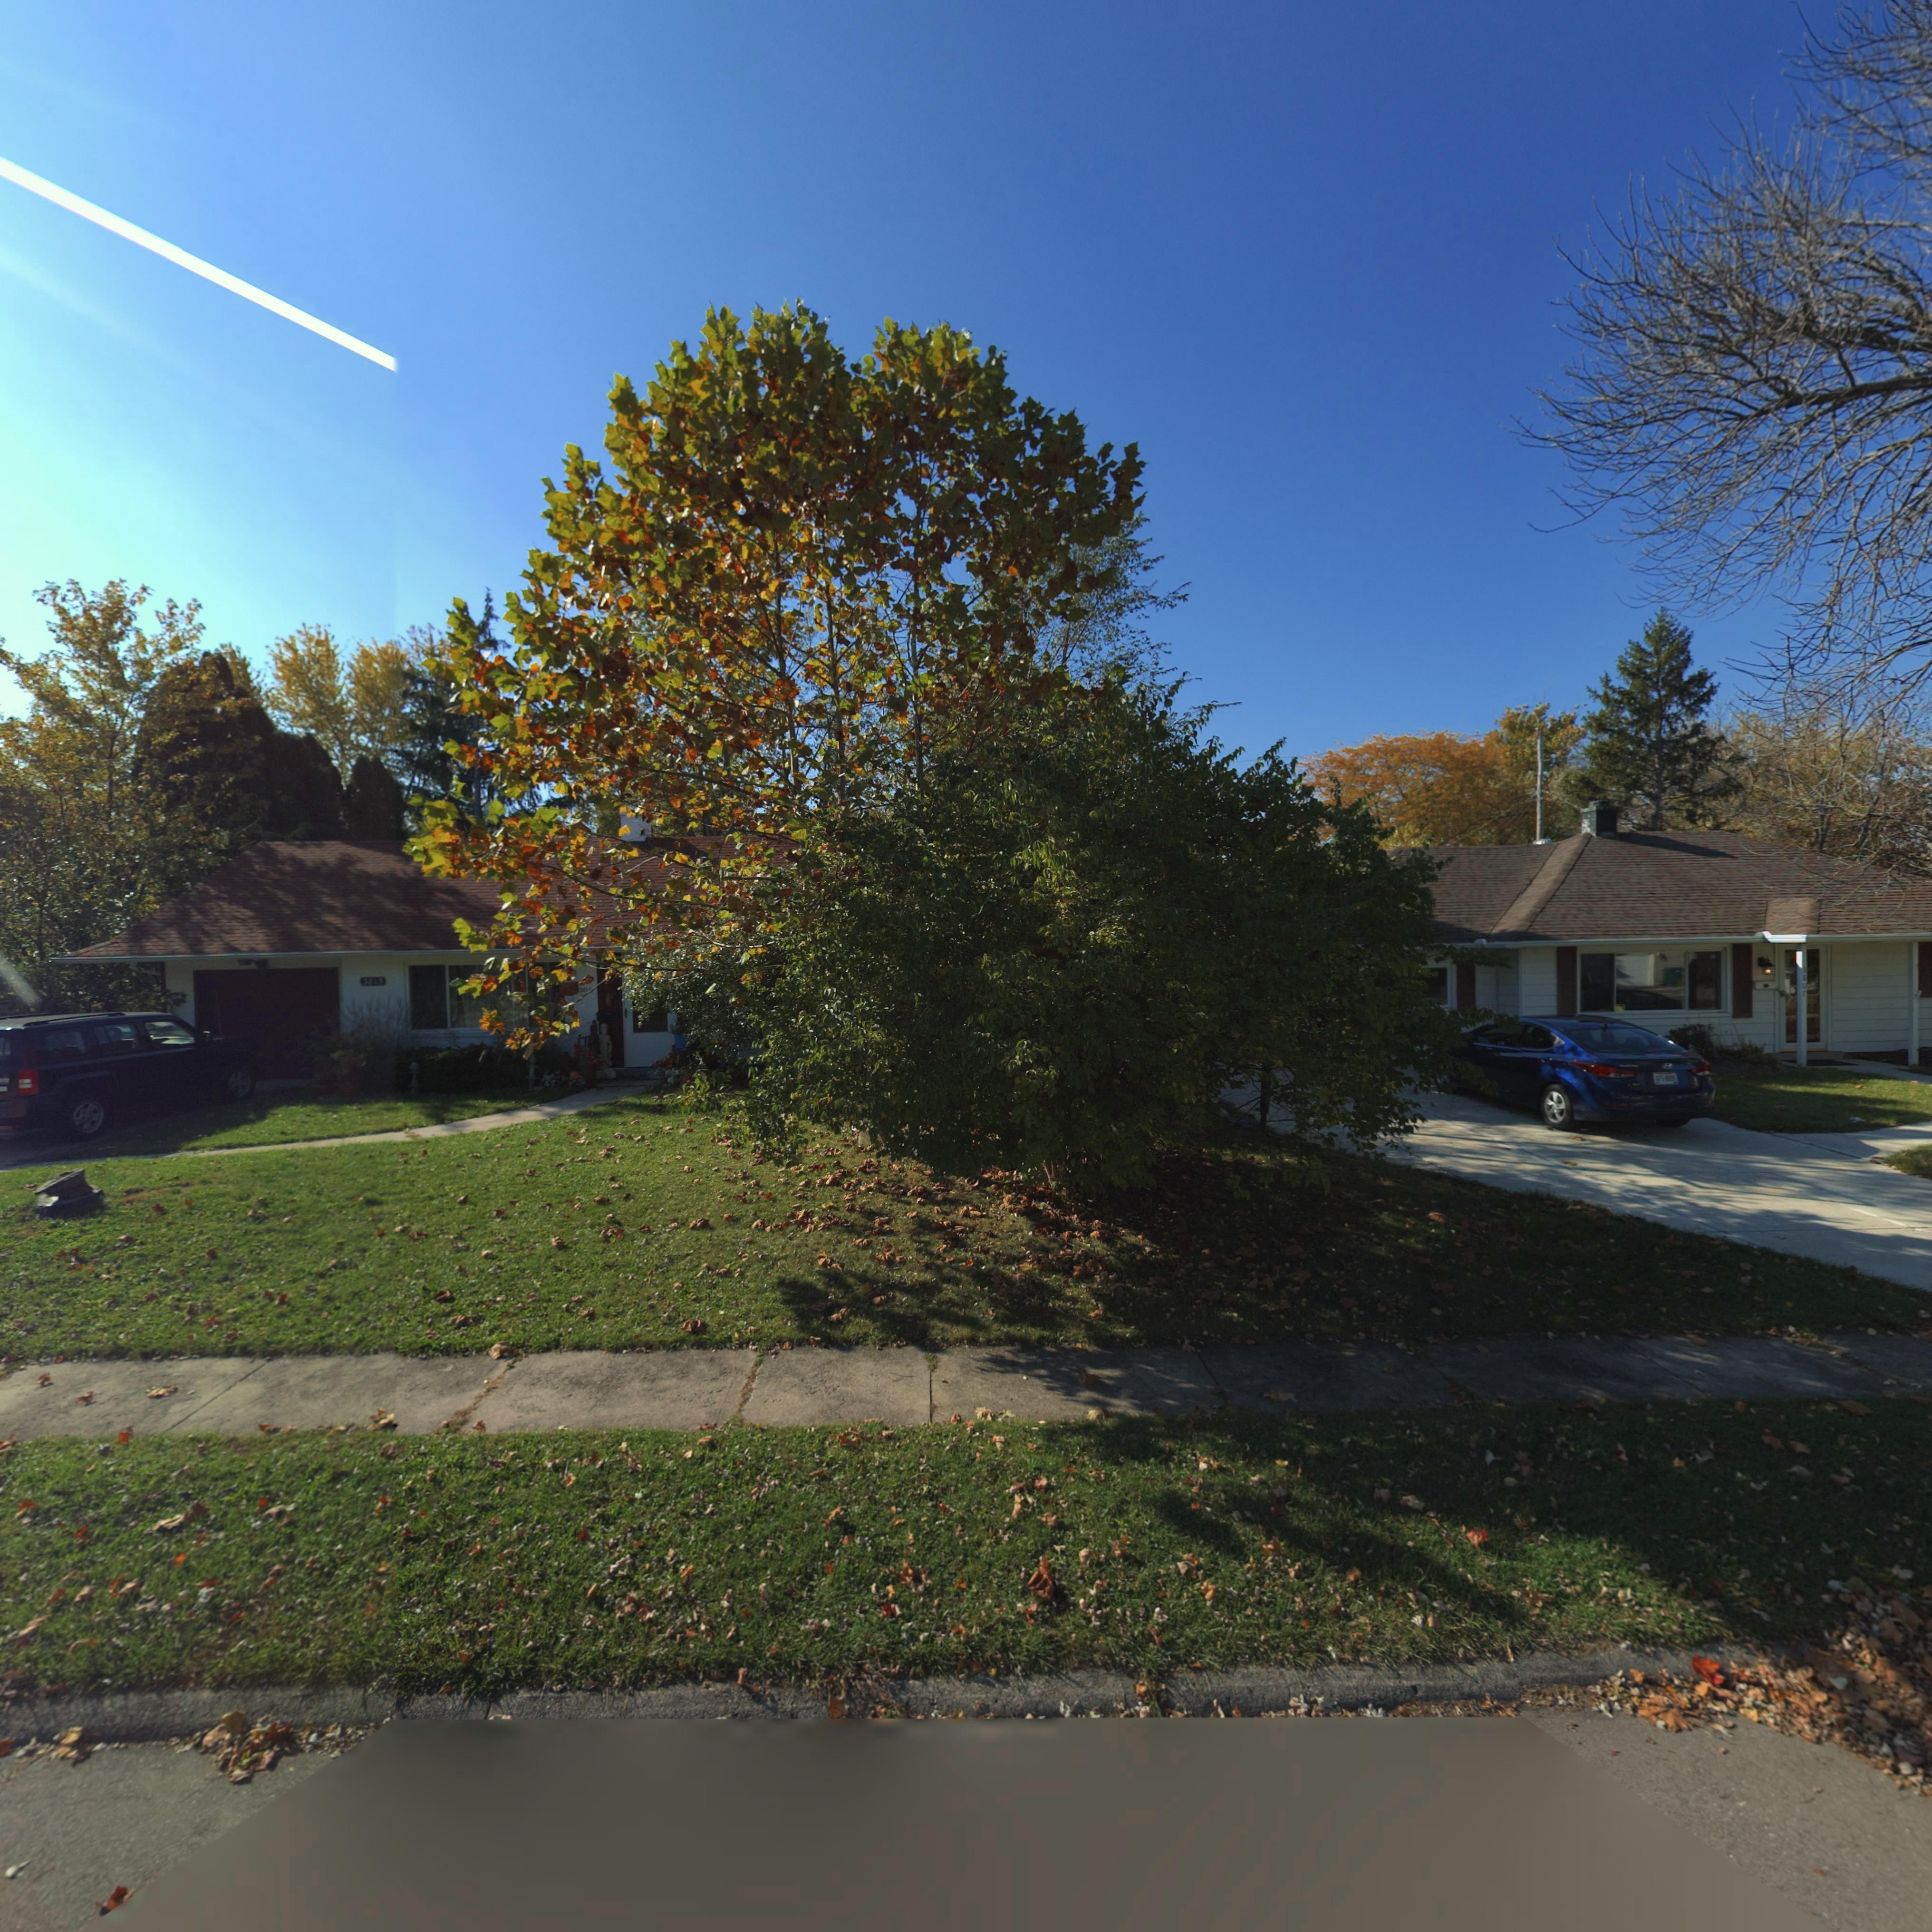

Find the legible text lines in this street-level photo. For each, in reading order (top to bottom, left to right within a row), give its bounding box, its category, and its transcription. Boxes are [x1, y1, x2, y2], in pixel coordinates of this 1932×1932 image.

[362, 976, 384, 986] StreetNumber: 3815
[1801, 966, 1808, 997] StreetNumber: 3807